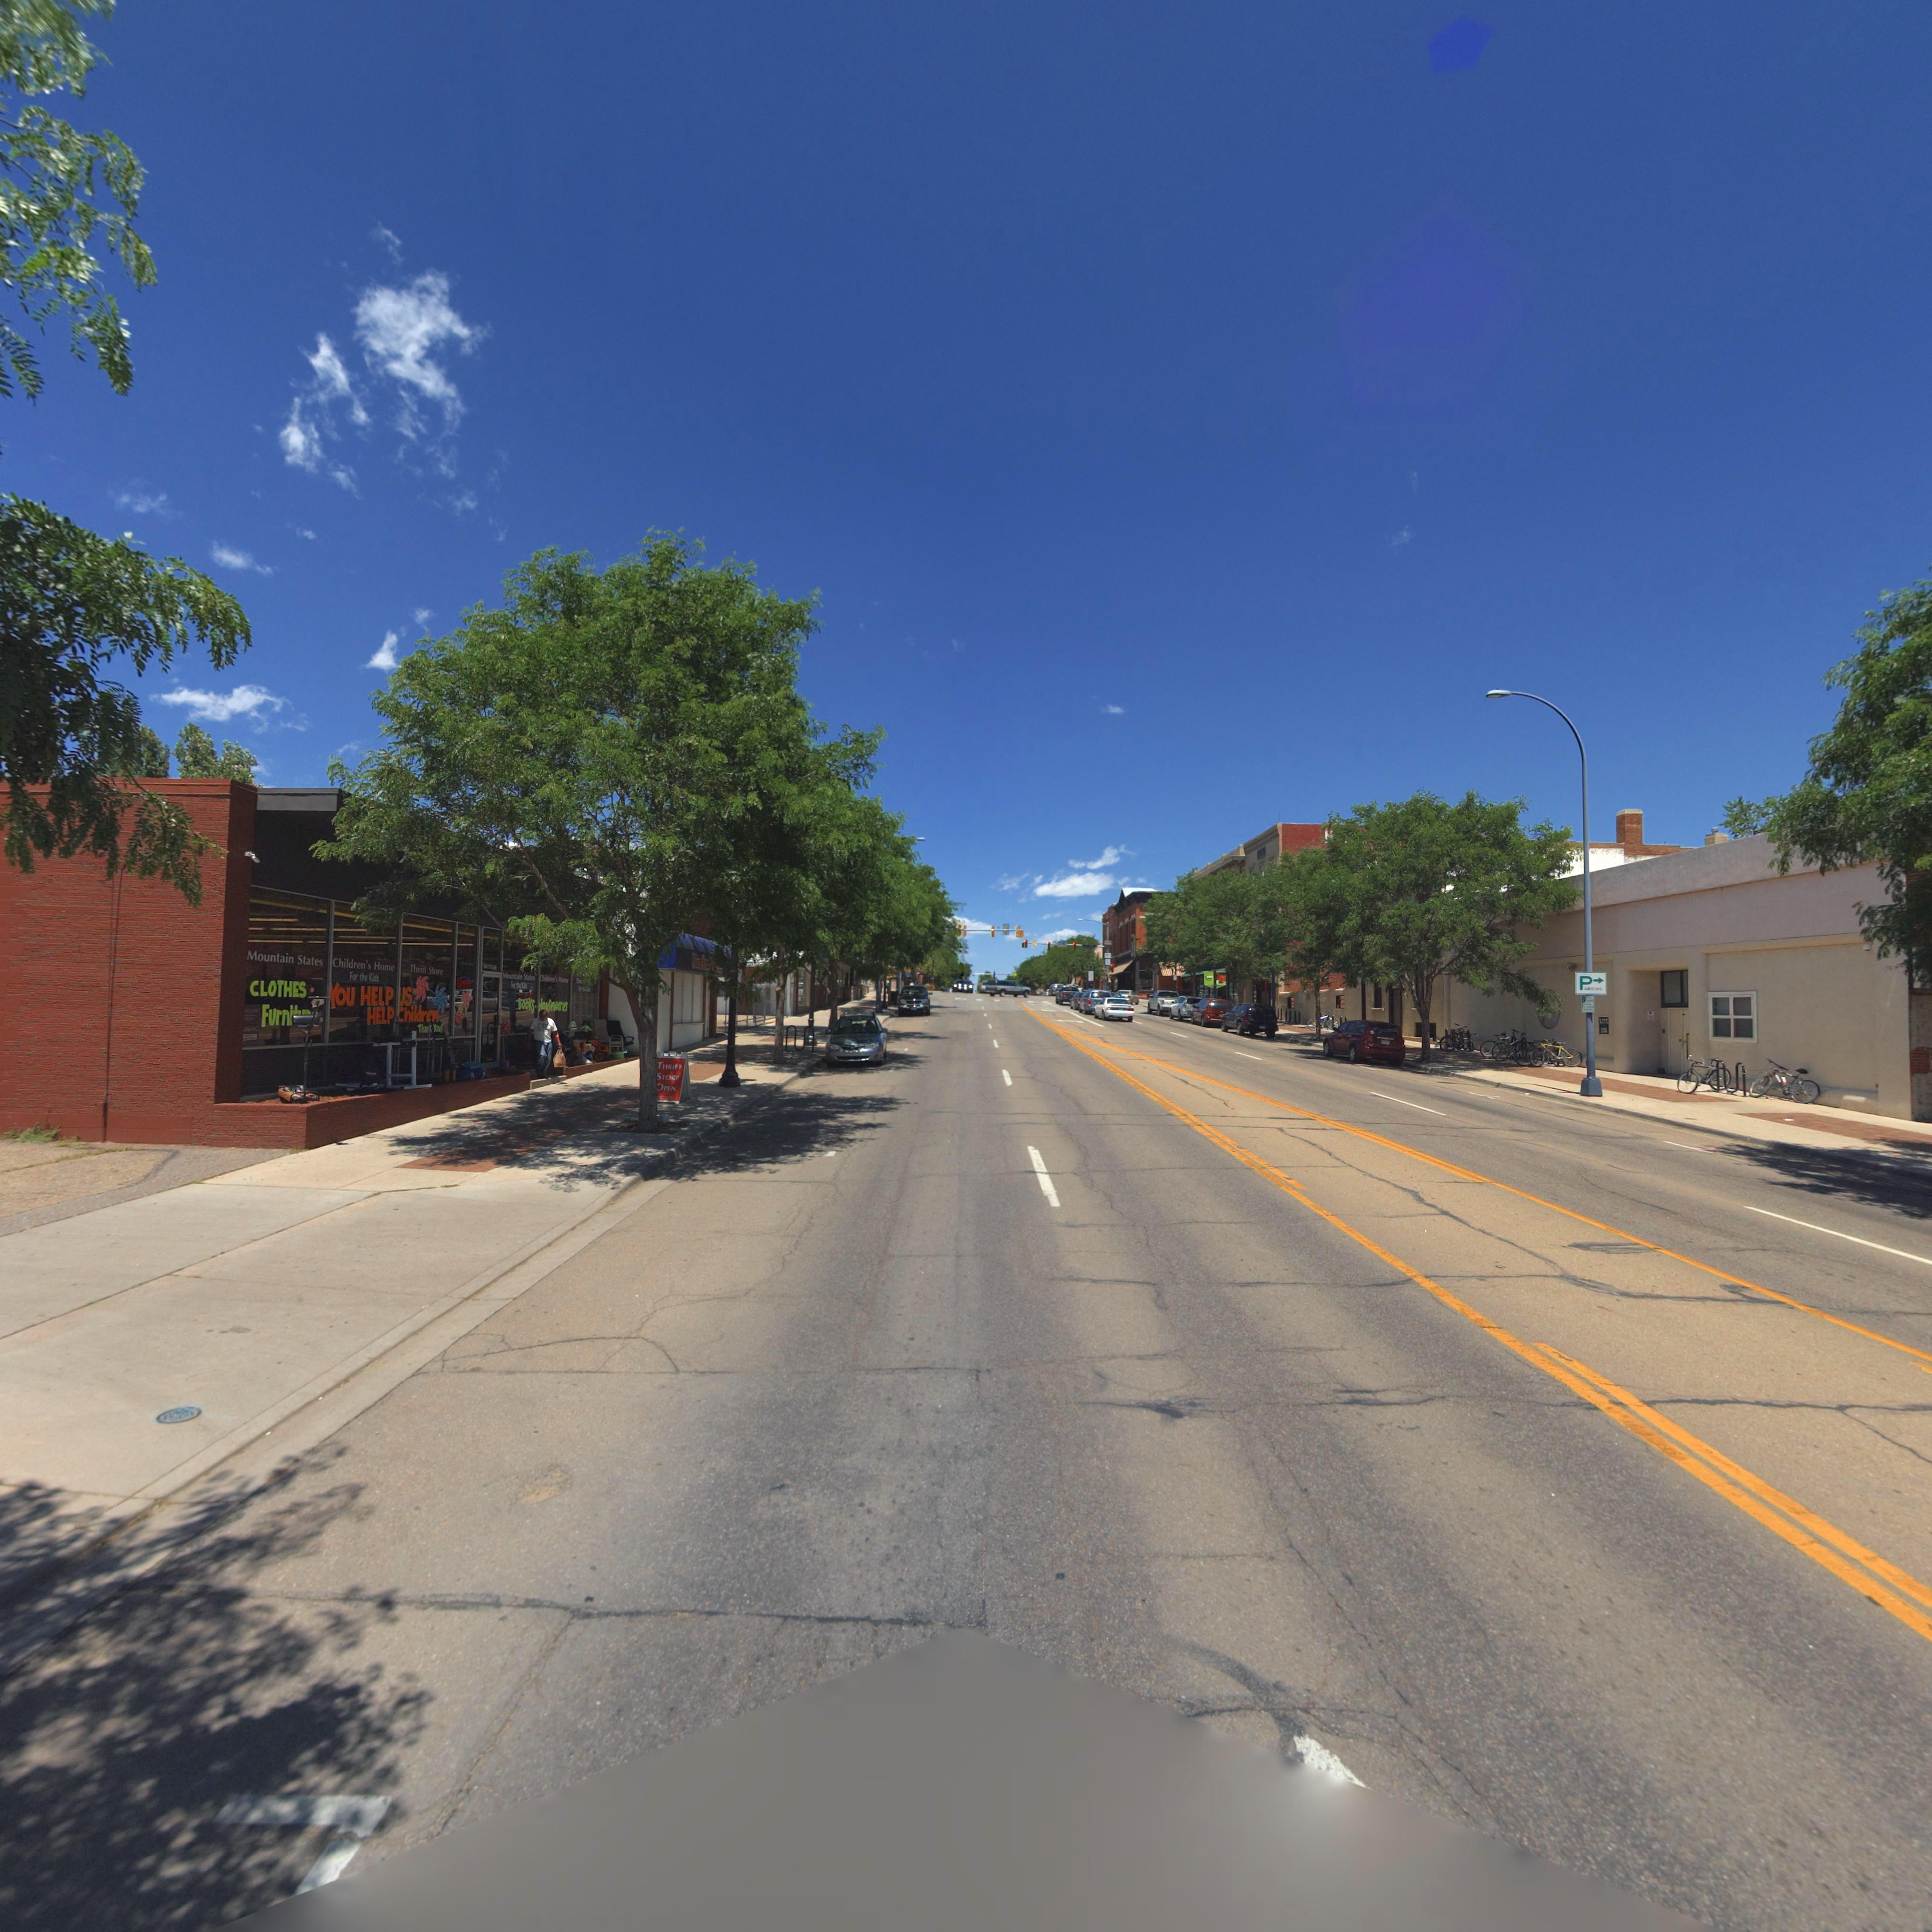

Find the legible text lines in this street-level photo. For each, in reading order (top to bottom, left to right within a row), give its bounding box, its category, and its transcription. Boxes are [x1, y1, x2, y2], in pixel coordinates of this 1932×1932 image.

[245, 949, 324, 967] BusinessName: Mountain States
[333, 957, 396, 972] BusinessName: Children's Home
[1600, 1026, 1607, 1033] StreetNumber: 236